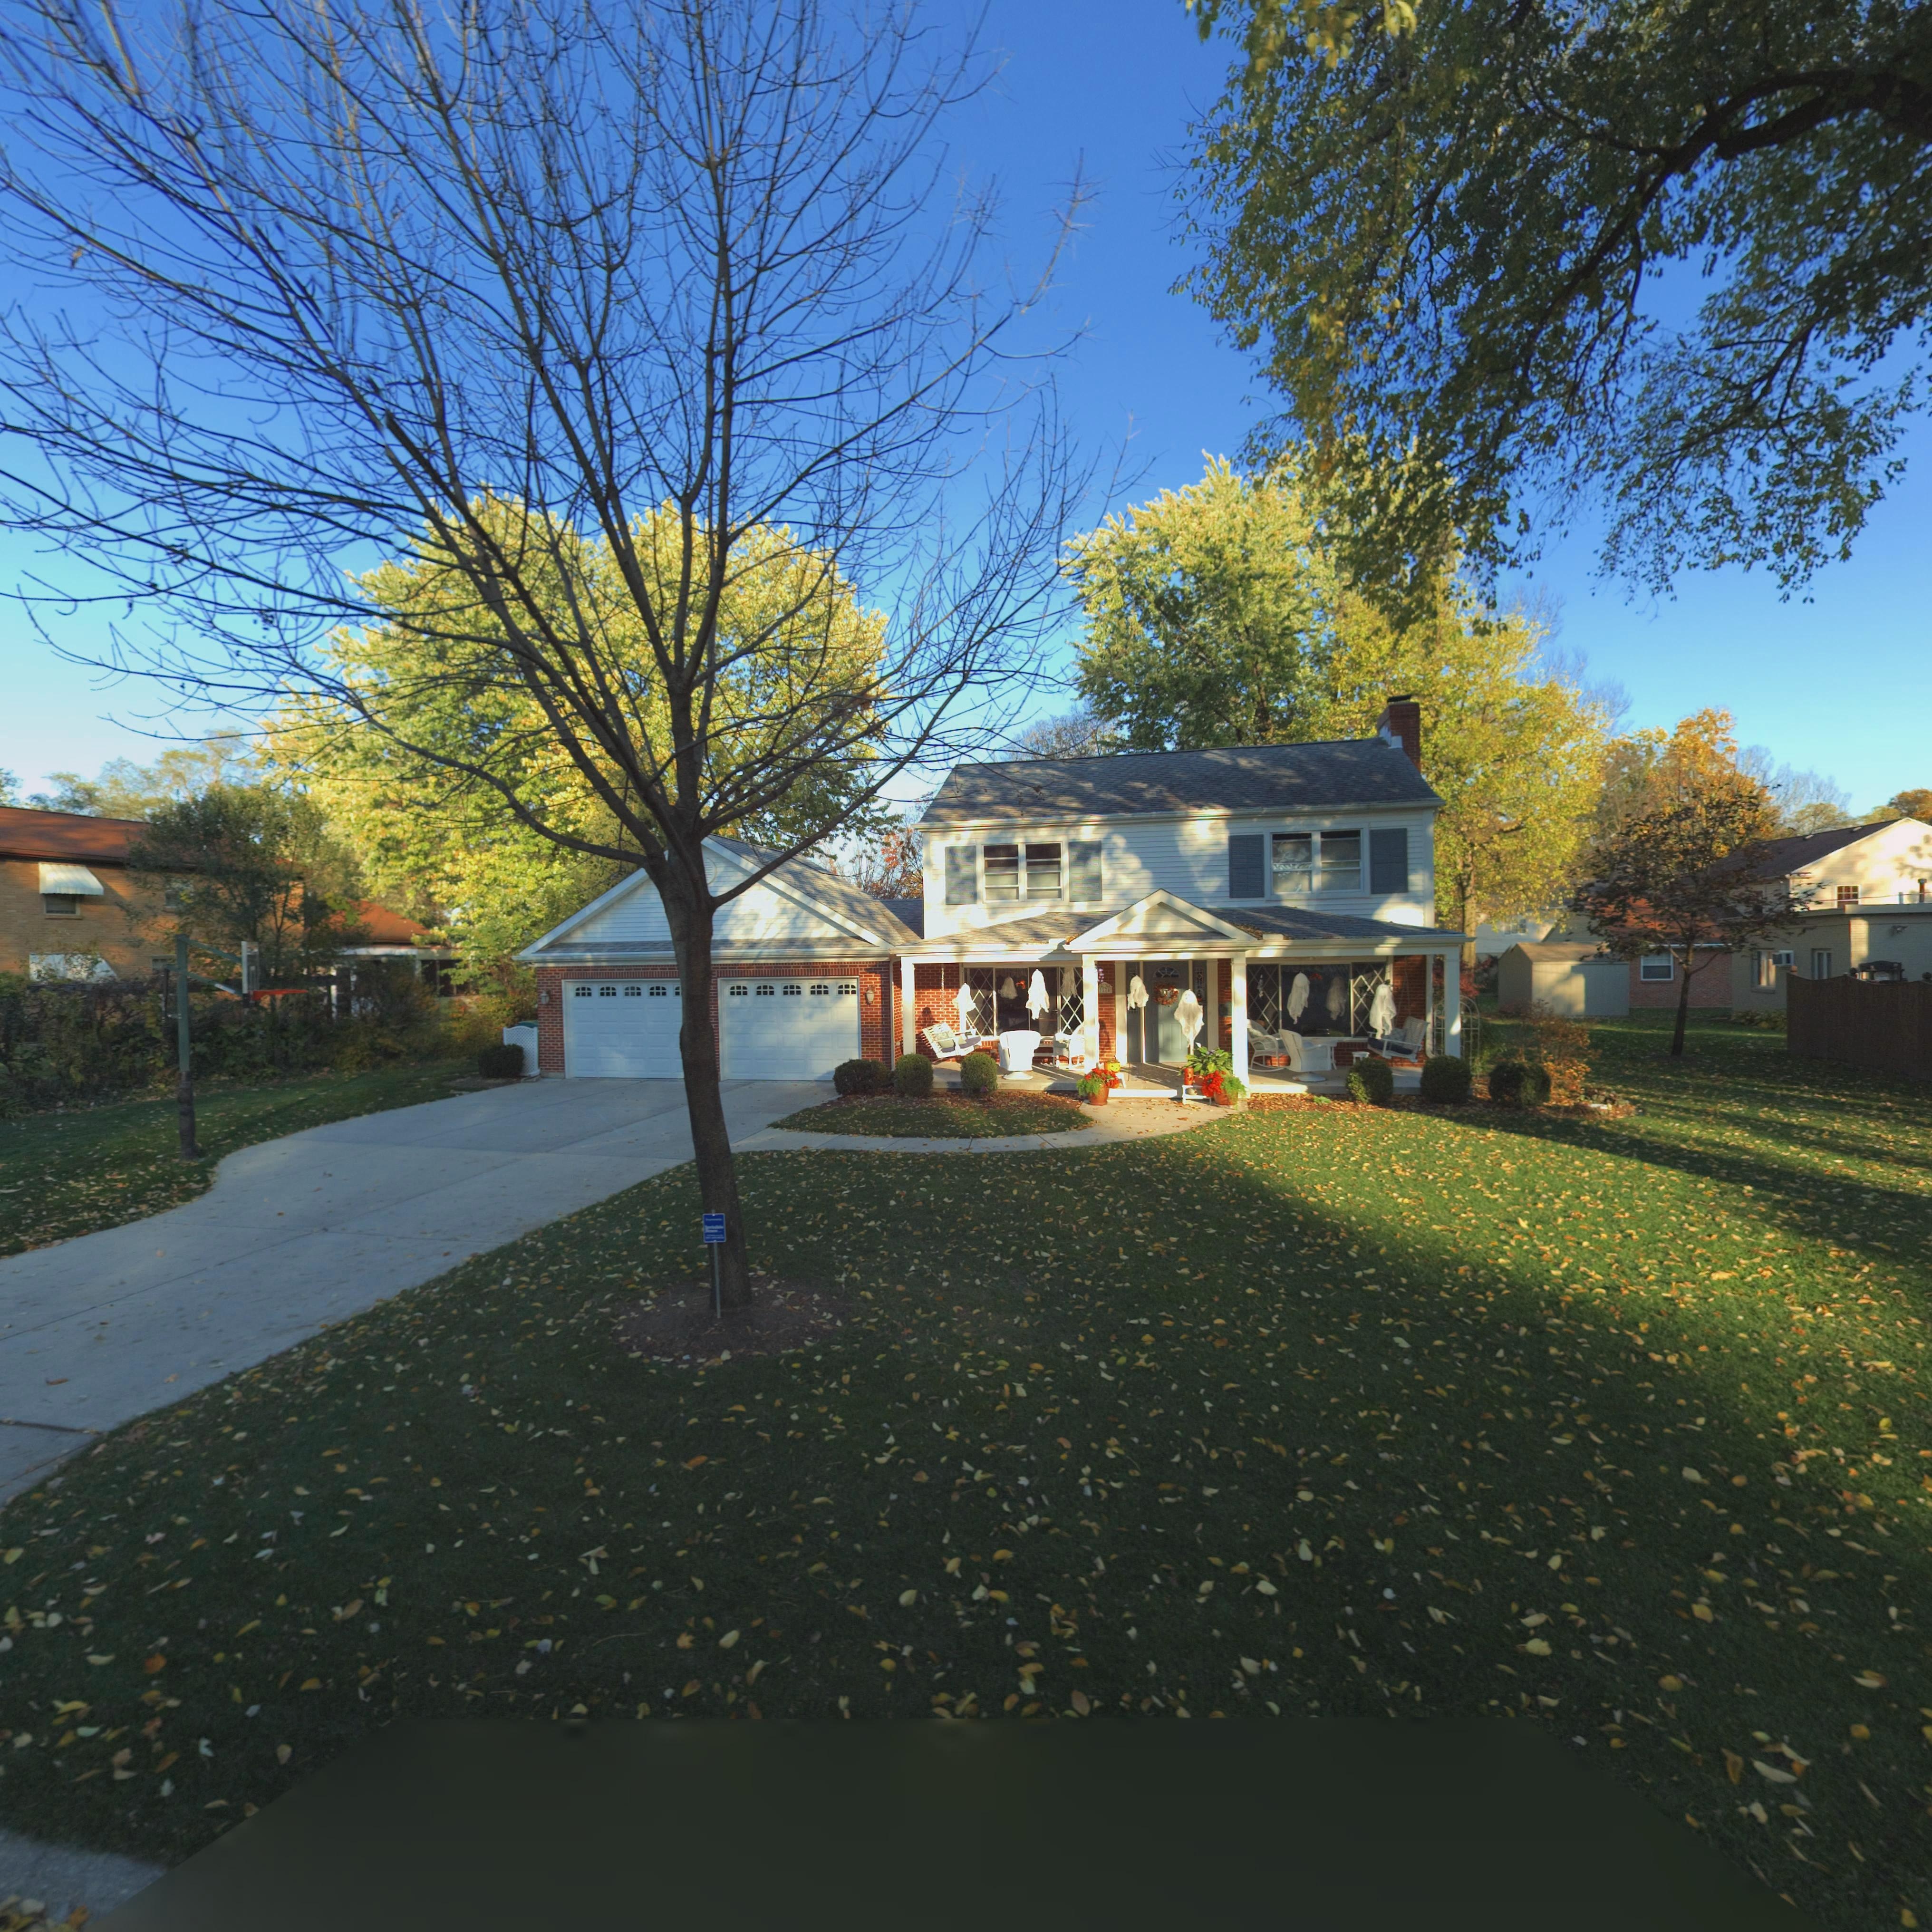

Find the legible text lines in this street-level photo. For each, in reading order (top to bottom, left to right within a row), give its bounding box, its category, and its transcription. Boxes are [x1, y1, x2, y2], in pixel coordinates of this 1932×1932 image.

[1099, 987, 1111, 993] StreetNumber: **24